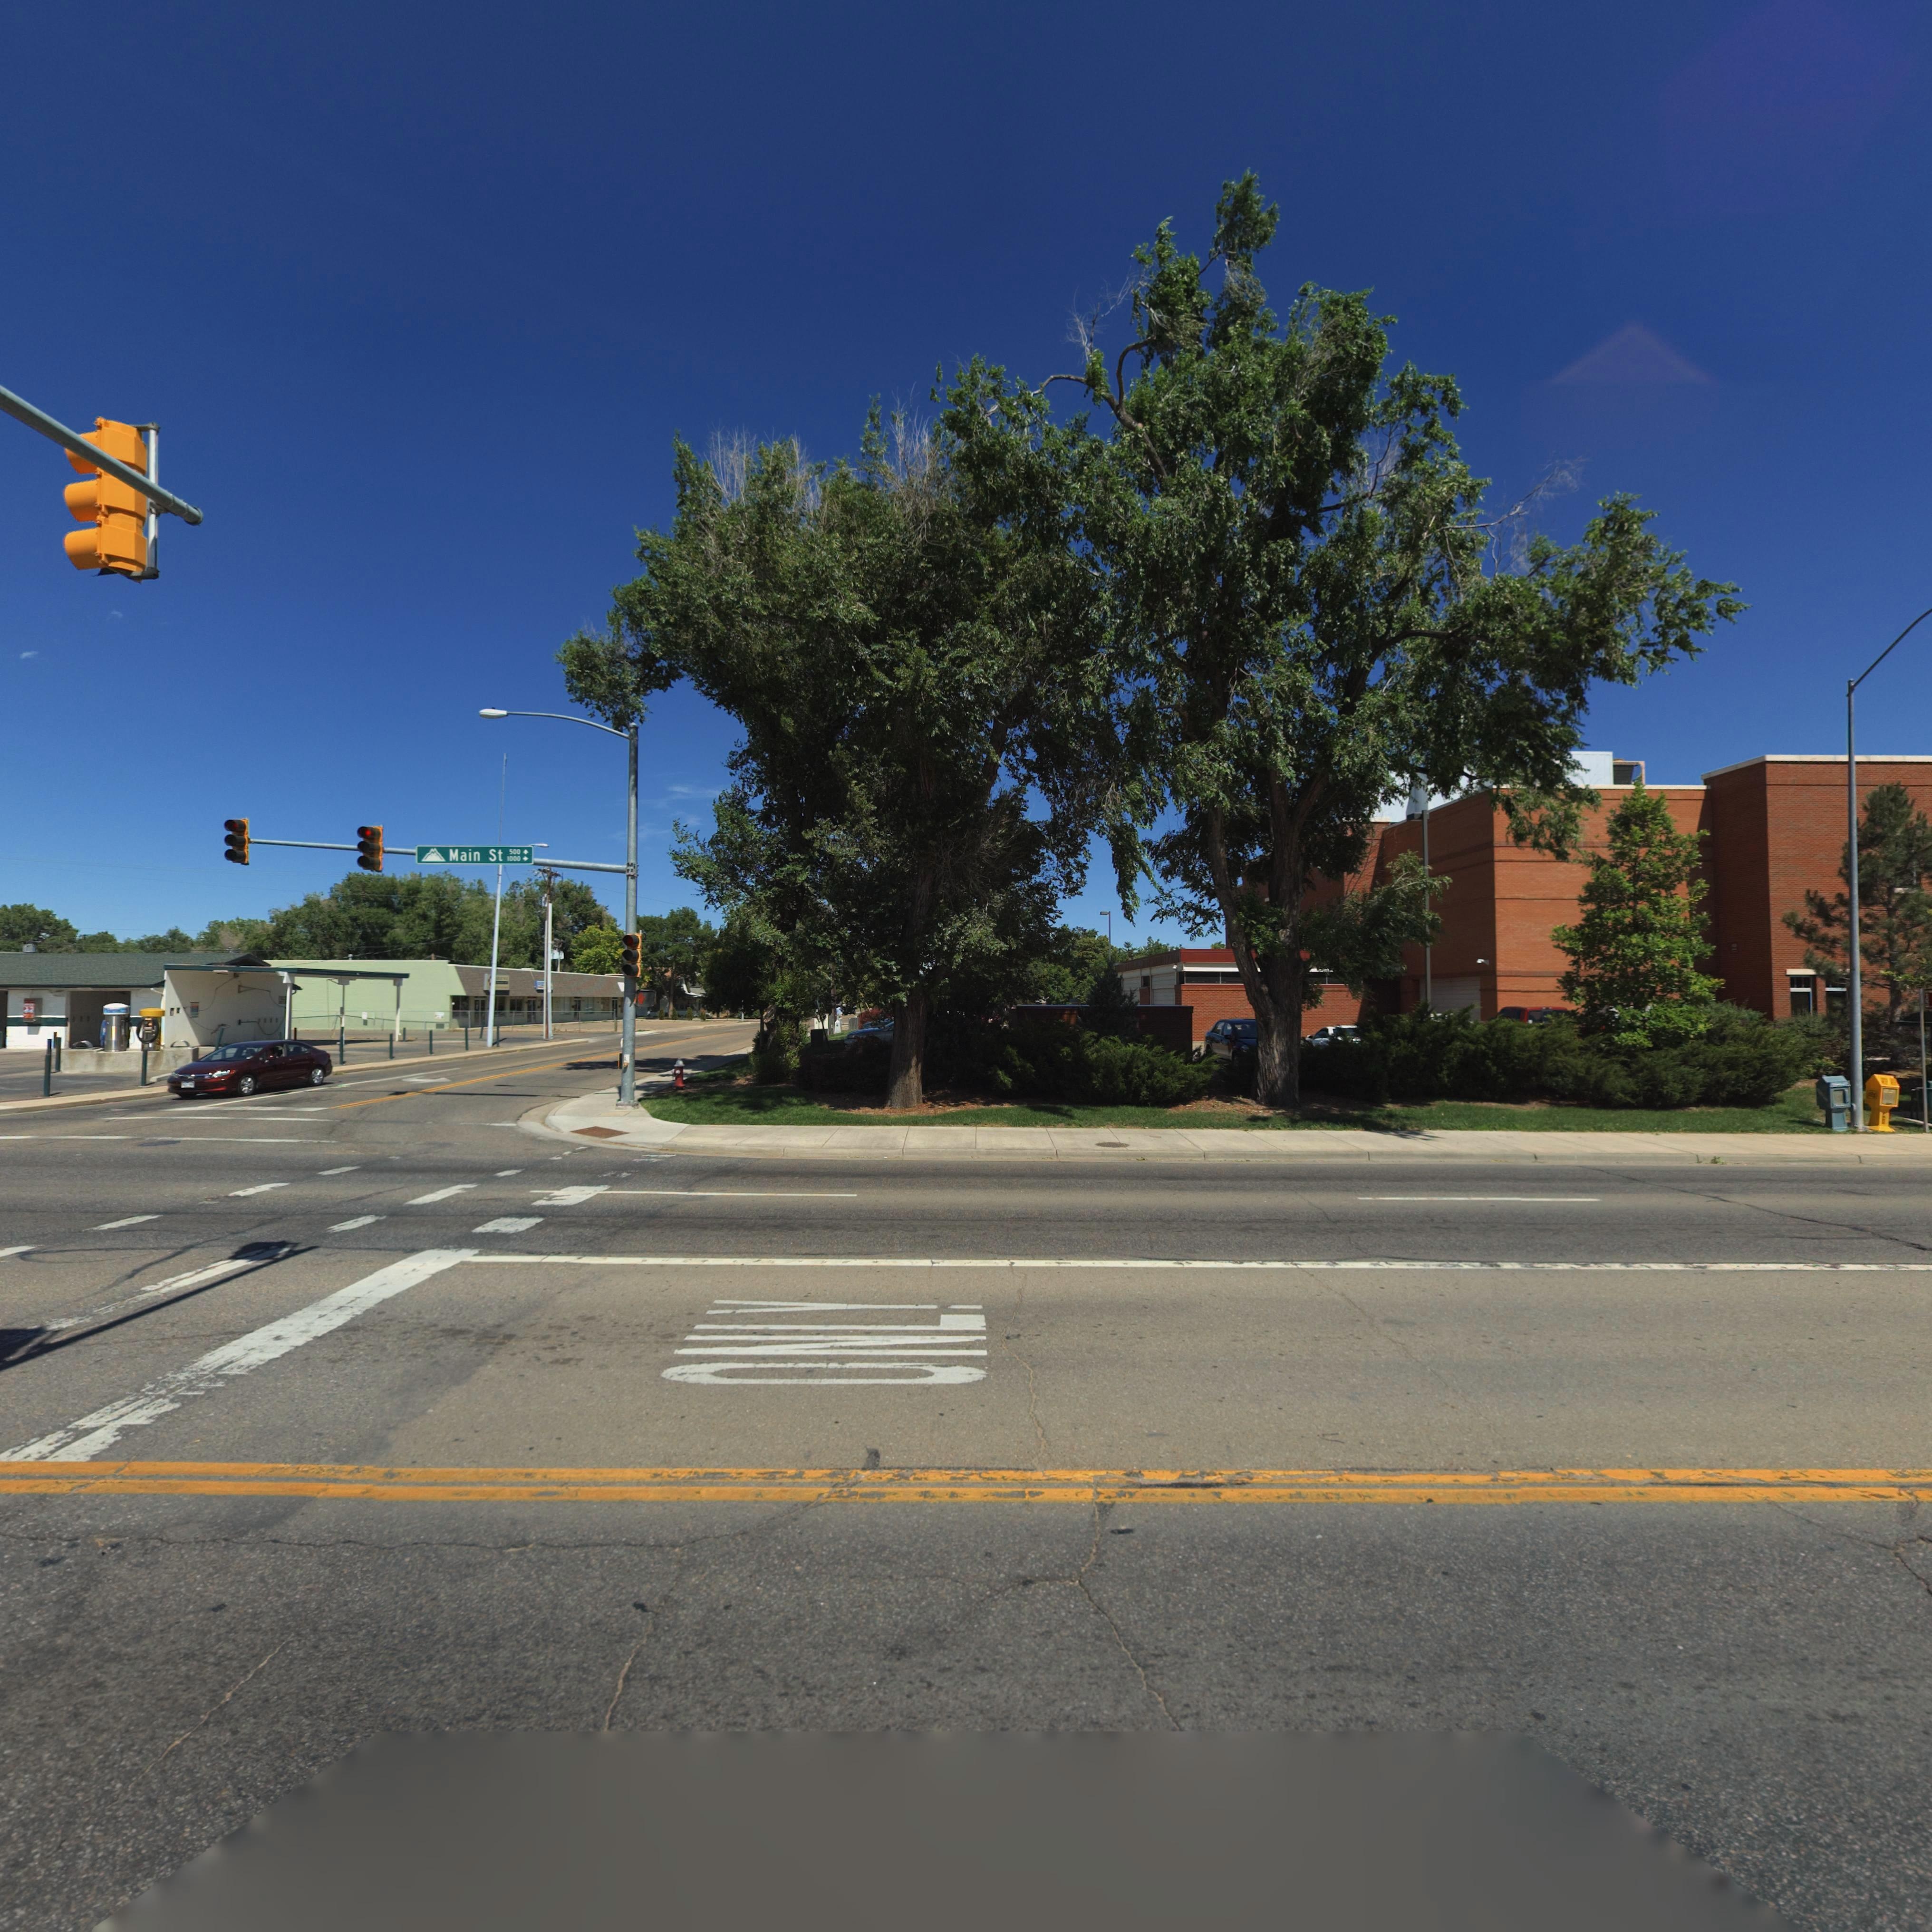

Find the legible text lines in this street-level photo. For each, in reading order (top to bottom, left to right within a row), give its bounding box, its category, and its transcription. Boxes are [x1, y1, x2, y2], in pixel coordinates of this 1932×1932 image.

[509, 848, 520, 854] StreetNumberRange: 500
[449, 848, 503, 862] StreetName: Main St
[507, 855, 528, 861] StreetNumberRange: 1000 ->